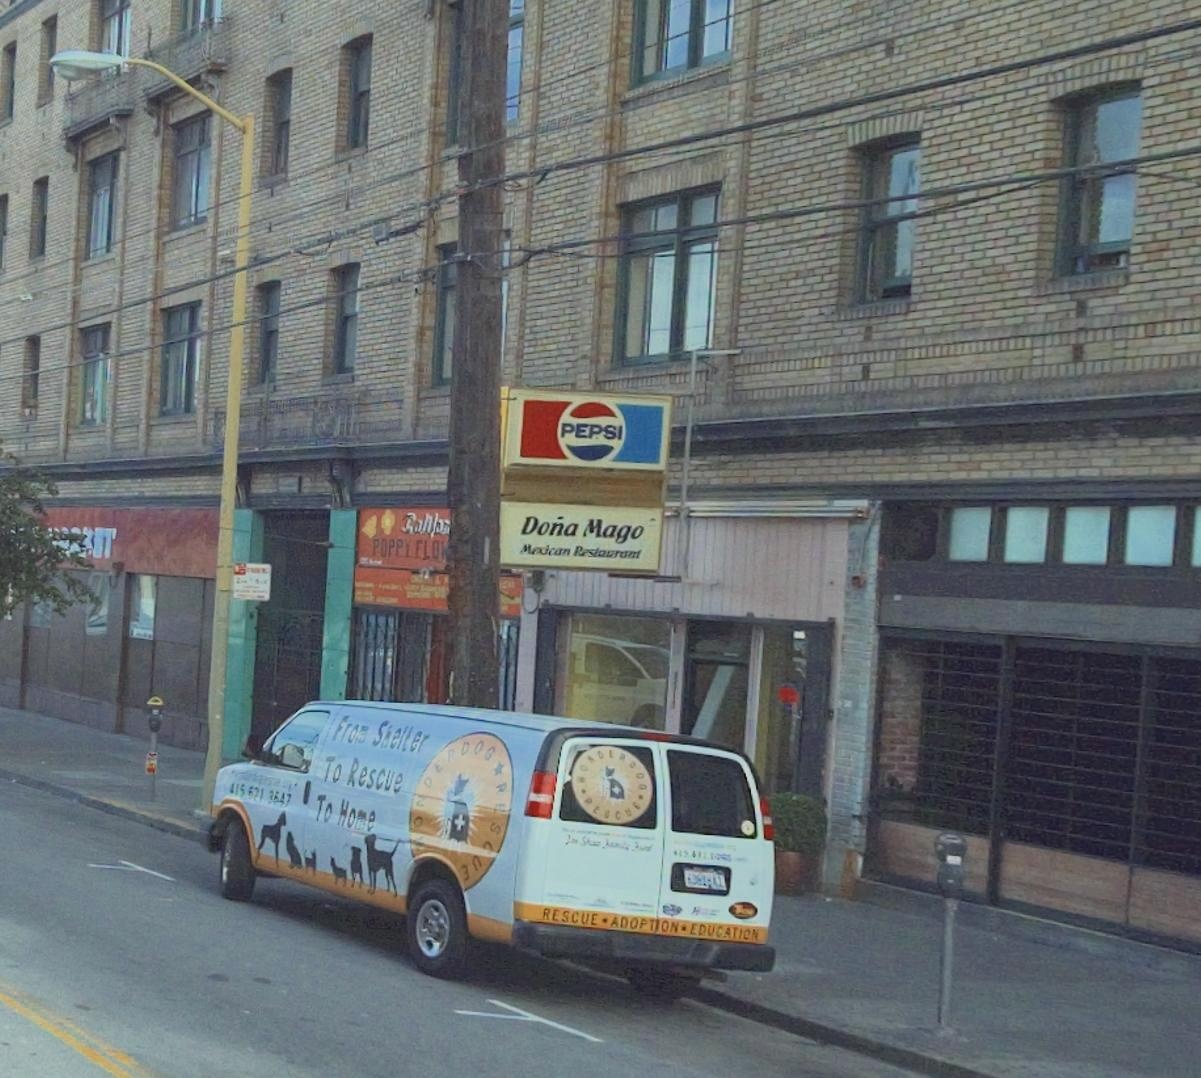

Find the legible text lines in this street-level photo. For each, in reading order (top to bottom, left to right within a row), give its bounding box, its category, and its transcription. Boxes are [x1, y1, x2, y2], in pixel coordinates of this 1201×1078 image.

[557, 419, 626, 443] None: PEPSI
[88, 524, 121, 562] BusinessName: ET
[369, 535, 444, 563] None: POPPY FLO
[515, 540, 647, 561] None: Mexican Restaurant
[516, 512, 652, 547] BusinessName: Dona Mago
[324, 710, 437, 758] None: From Shelter
[224, 779, 296, 812] None: 415 671 3547
[307, 790, 380, 838] None: To Home
[313, 750, 411, 801] None: To Rescue
[408, 733, 504, 855] None: WONDERDOG
[457, 777, 510, 888] None: RESCUE
[574, 746, 651, 793] None: WONDERDOG
[578, 793, 647, 825] None: RESCUE
[538, 903, 765, 944] None: RESCUE * ADOPTION * EDUCATION